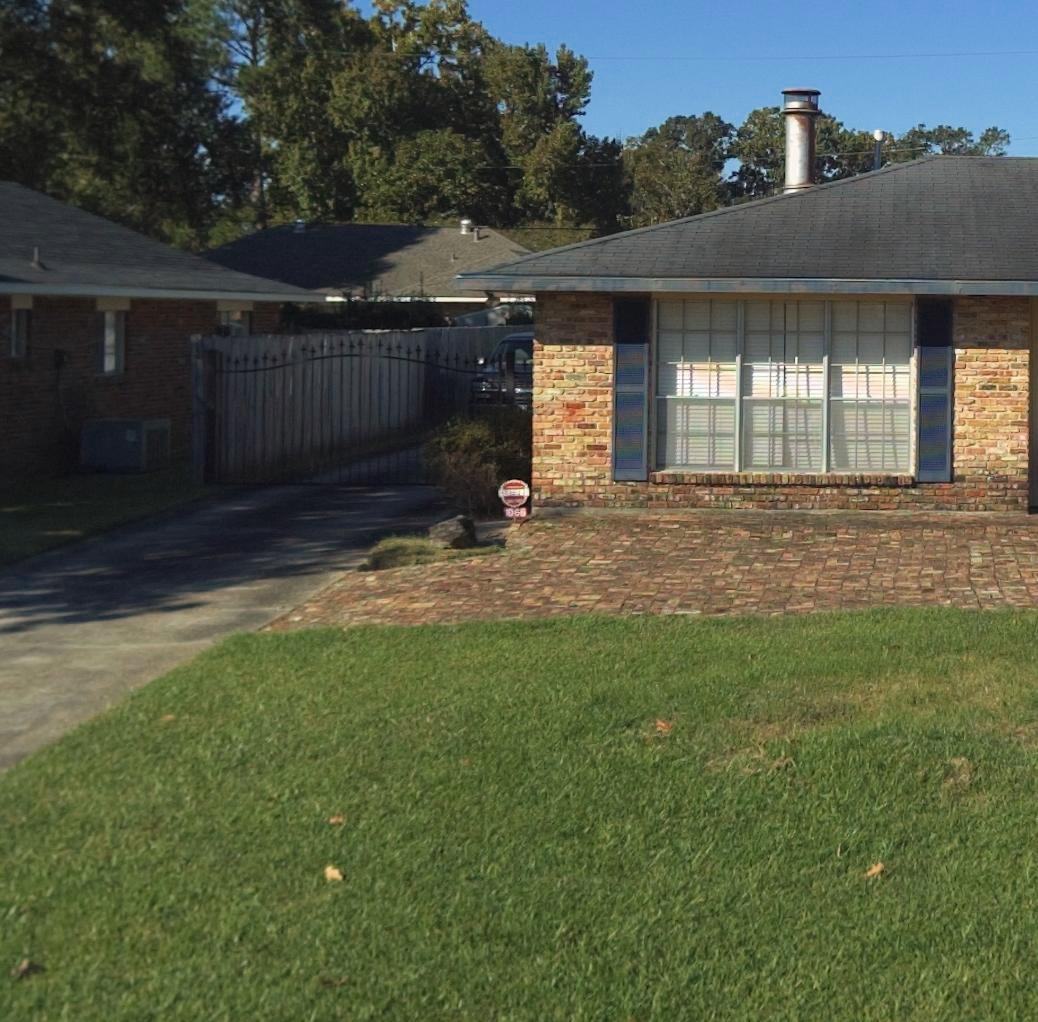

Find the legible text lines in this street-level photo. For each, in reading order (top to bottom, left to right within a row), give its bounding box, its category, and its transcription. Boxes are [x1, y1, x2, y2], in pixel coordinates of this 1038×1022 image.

[500, 506, 529, 519] StreetNumber: 1068